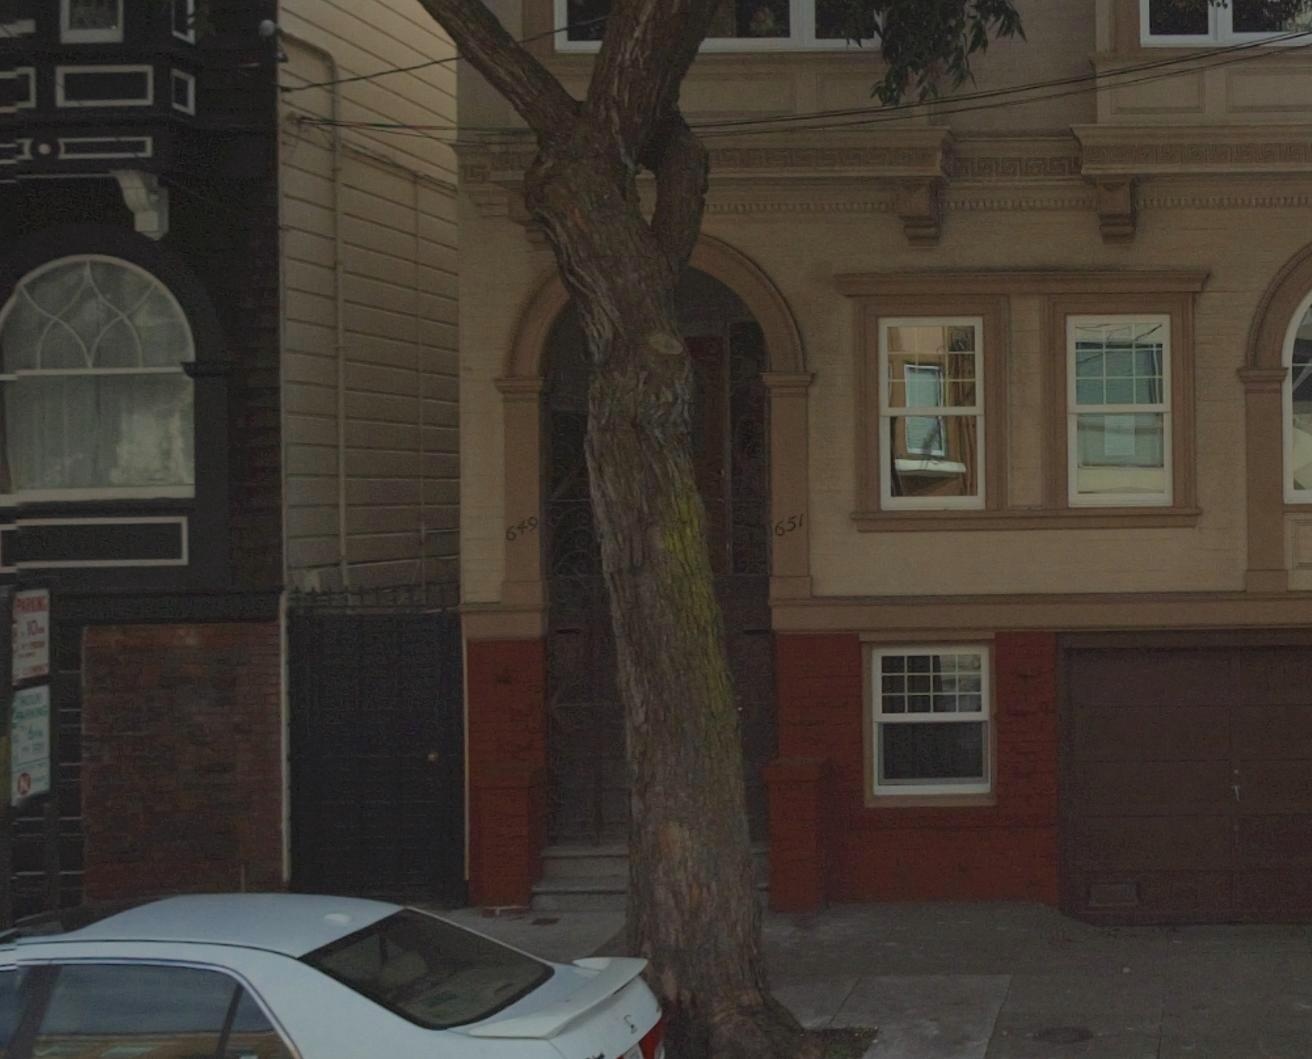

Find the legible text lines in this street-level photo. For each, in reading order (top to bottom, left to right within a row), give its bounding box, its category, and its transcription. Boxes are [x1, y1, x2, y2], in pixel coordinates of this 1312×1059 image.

[502, 511, 540, 545] StreetNumber: 649
[773, 509, 805, 541] StreetNumber: 651
[15, 594, 49, 616] None: PARKING
[25, 616, 39, 638] None: 10
[20, 689, 47, 707] None: HOUR
[28, 702, 50, 720] None: KING
[25, 723, 35, 743] None: 6
[17, 773, 32, 797] None: N